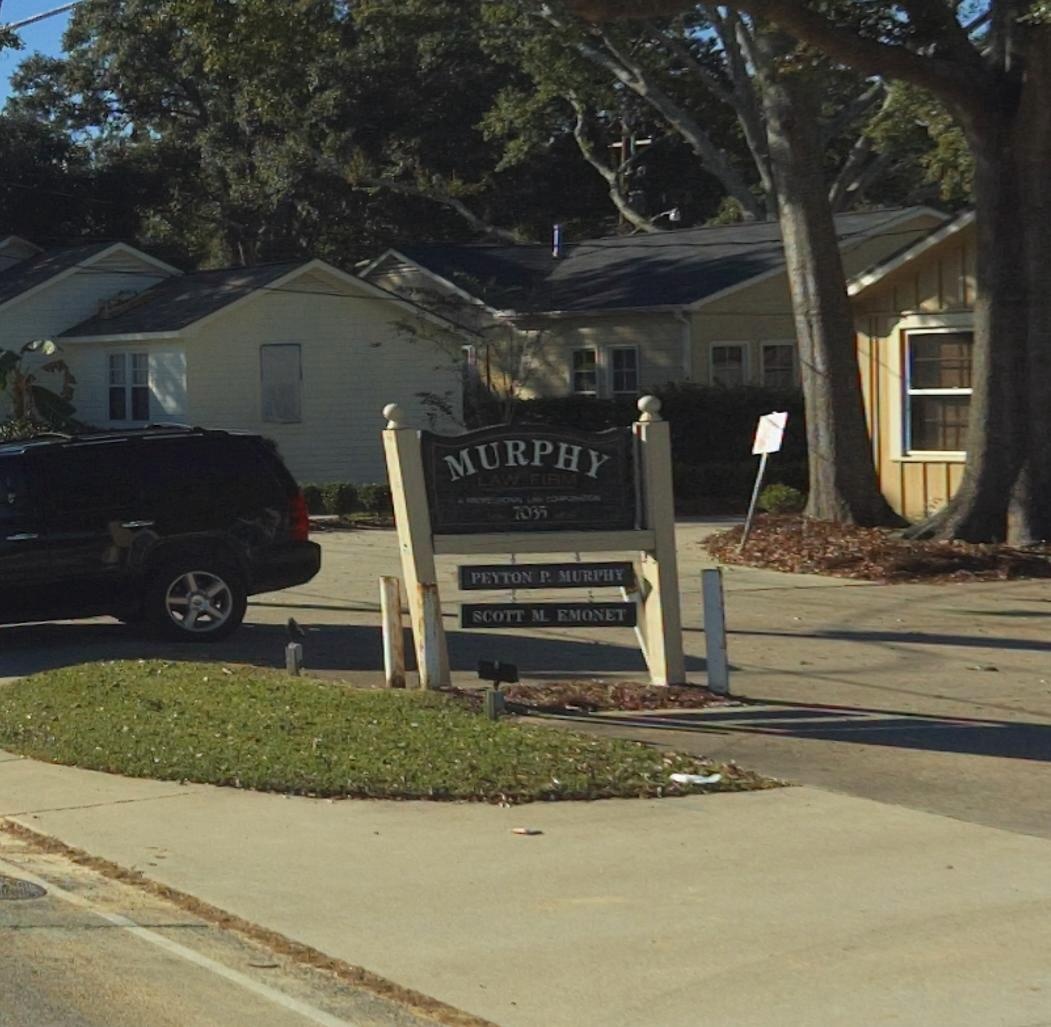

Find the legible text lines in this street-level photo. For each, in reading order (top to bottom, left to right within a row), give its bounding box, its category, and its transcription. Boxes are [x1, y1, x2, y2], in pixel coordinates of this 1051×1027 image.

[440, 438, 614, 484] BusinessName: MURPHY
[475, 472, 578, 489] BusinessName: LAW FIRM
[512, 503, 548, 521] StreetNumber: 7035
[467, 567, 626, 587] None: PEYTON P. MURPHY
[470, 607, 629, 624] None: SCOTT M. EMONET